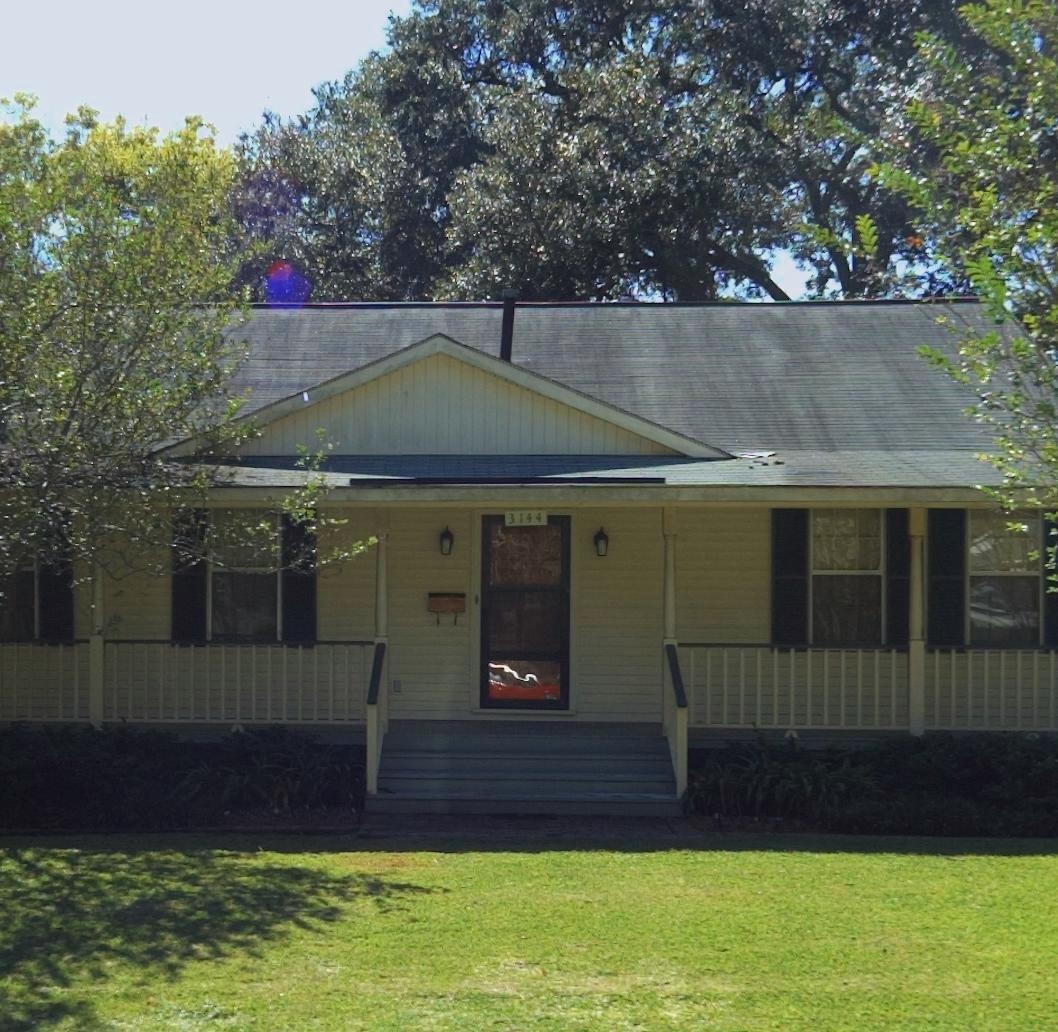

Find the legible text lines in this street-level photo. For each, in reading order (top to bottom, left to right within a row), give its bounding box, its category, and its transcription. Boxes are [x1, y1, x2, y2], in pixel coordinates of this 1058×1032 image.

[507, 510, 544, 526] StreetNumber: 3144